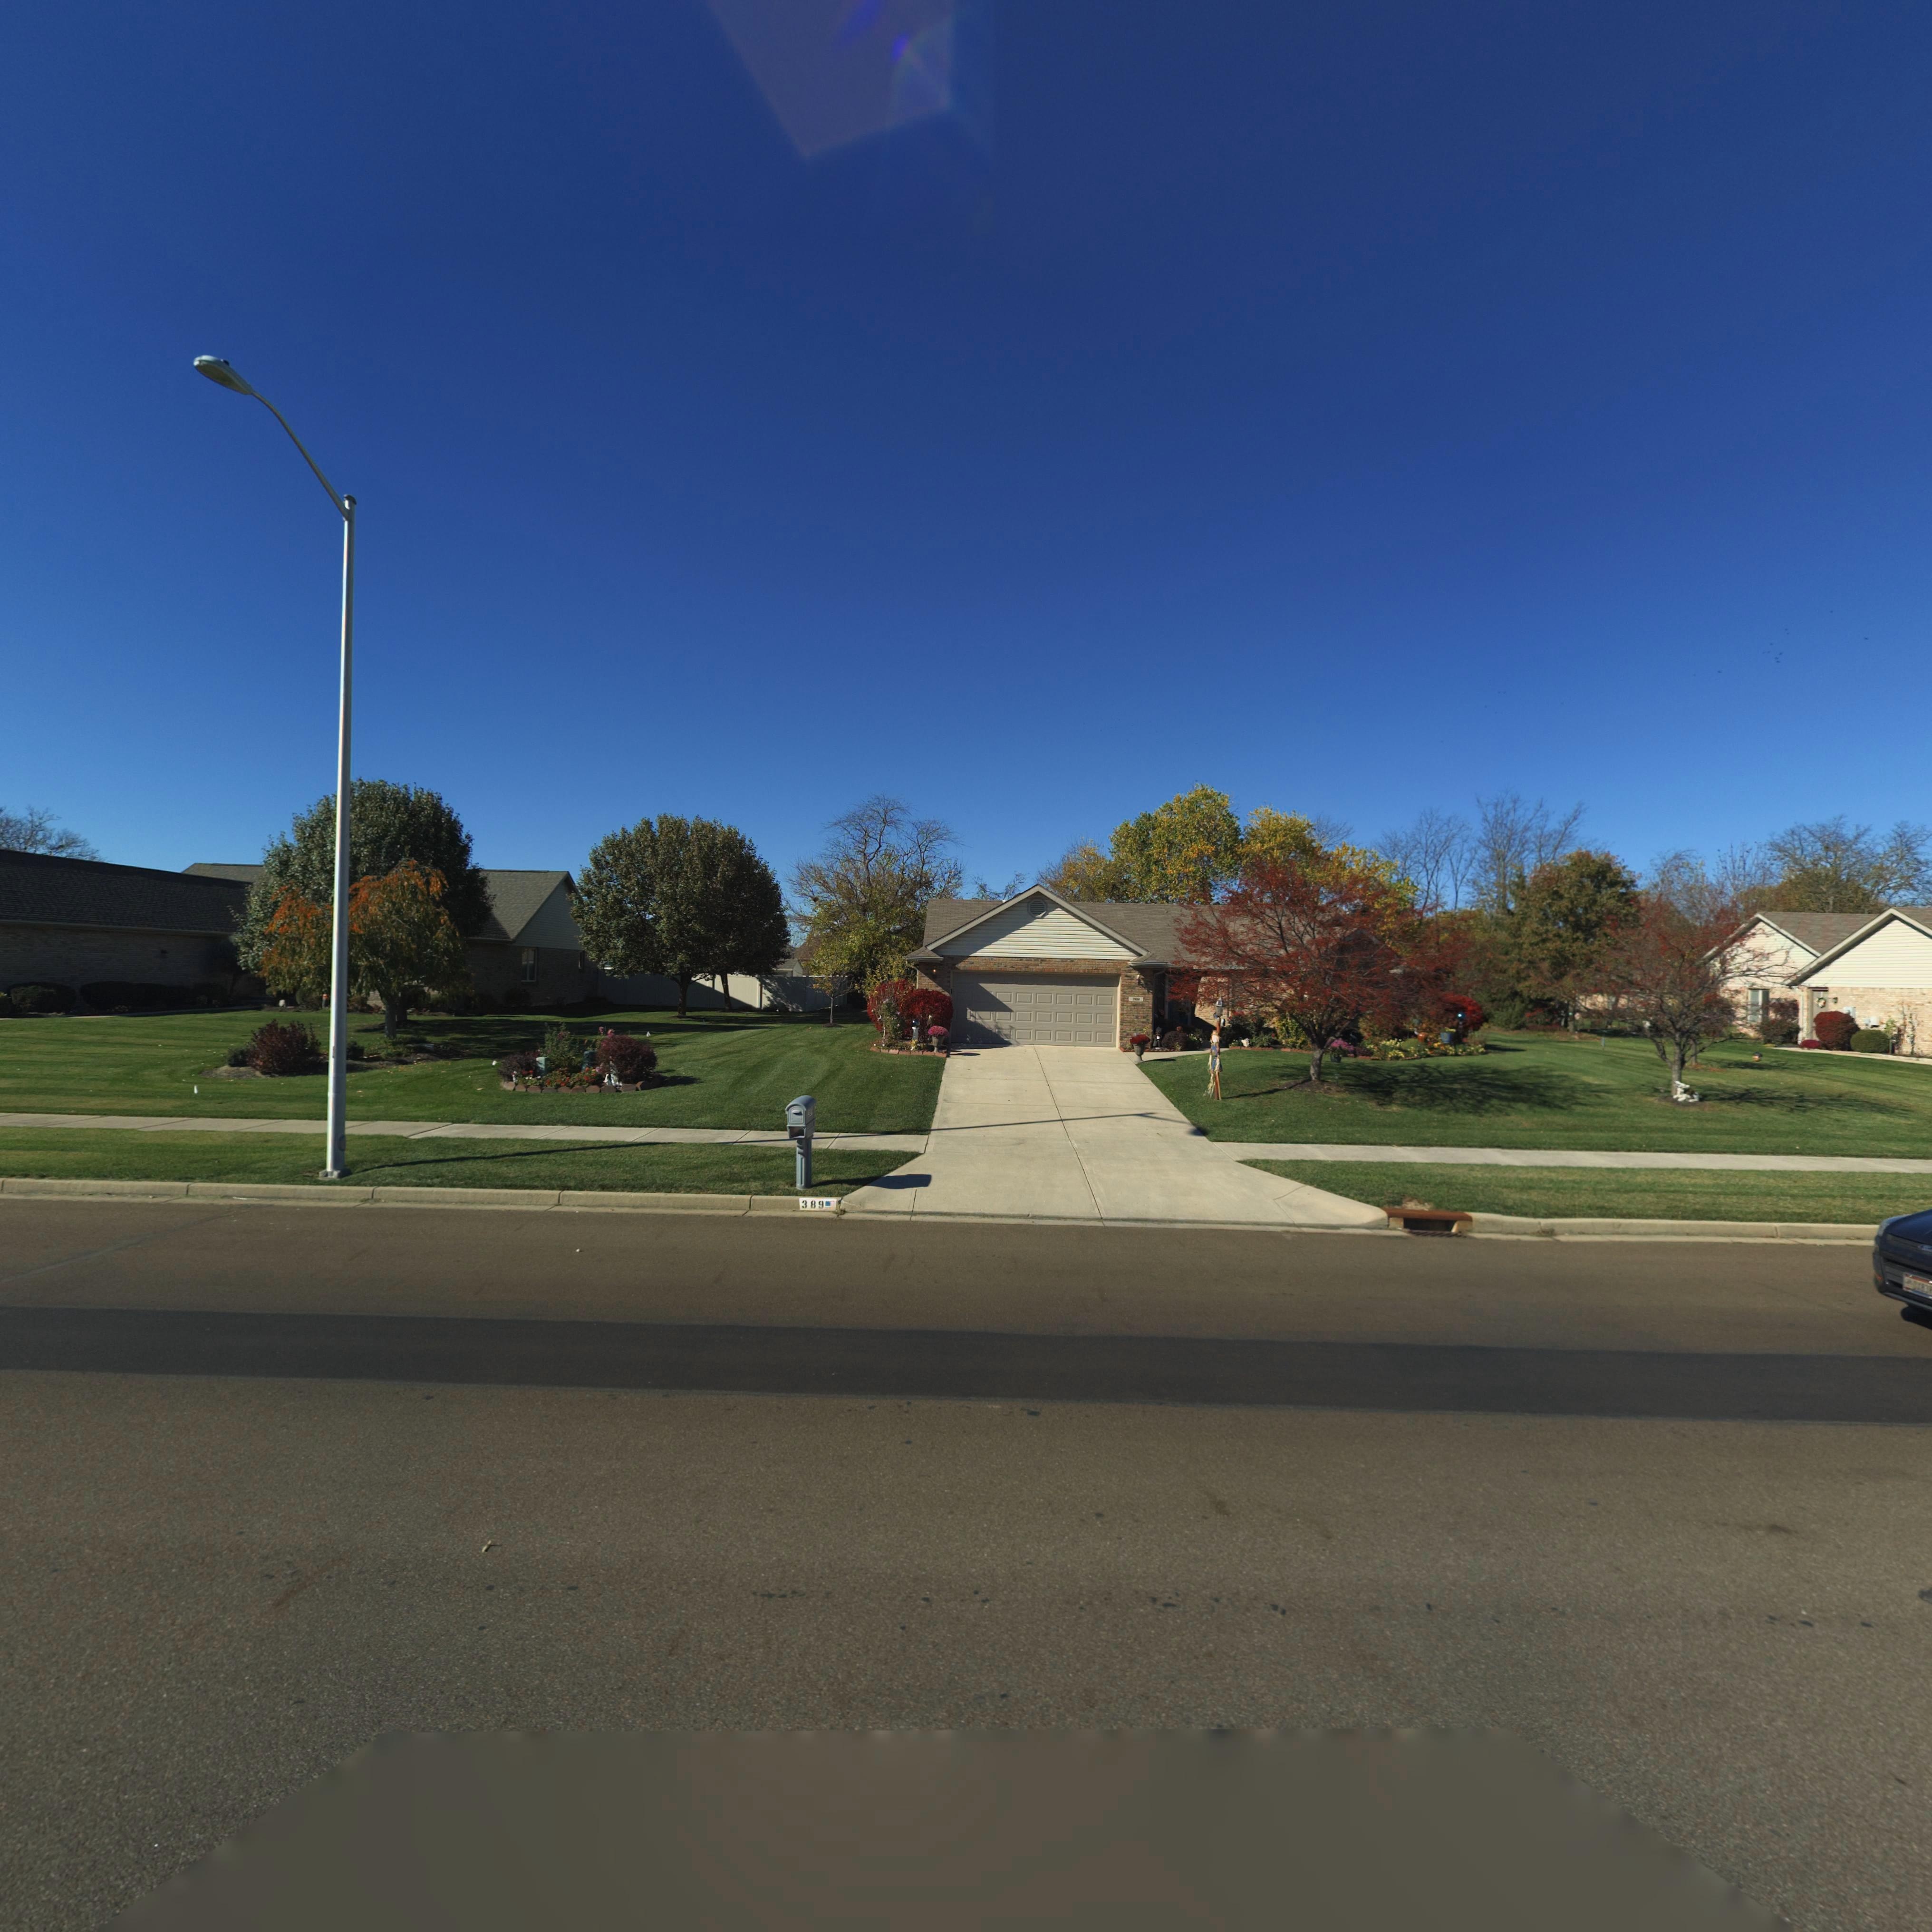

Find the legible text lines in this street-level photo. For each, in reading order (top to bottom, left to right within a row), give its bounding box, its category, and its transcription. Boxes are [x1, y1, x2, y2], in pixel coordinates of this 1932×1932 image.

[802, 1200, 824, 1209] StreetNumber: 389